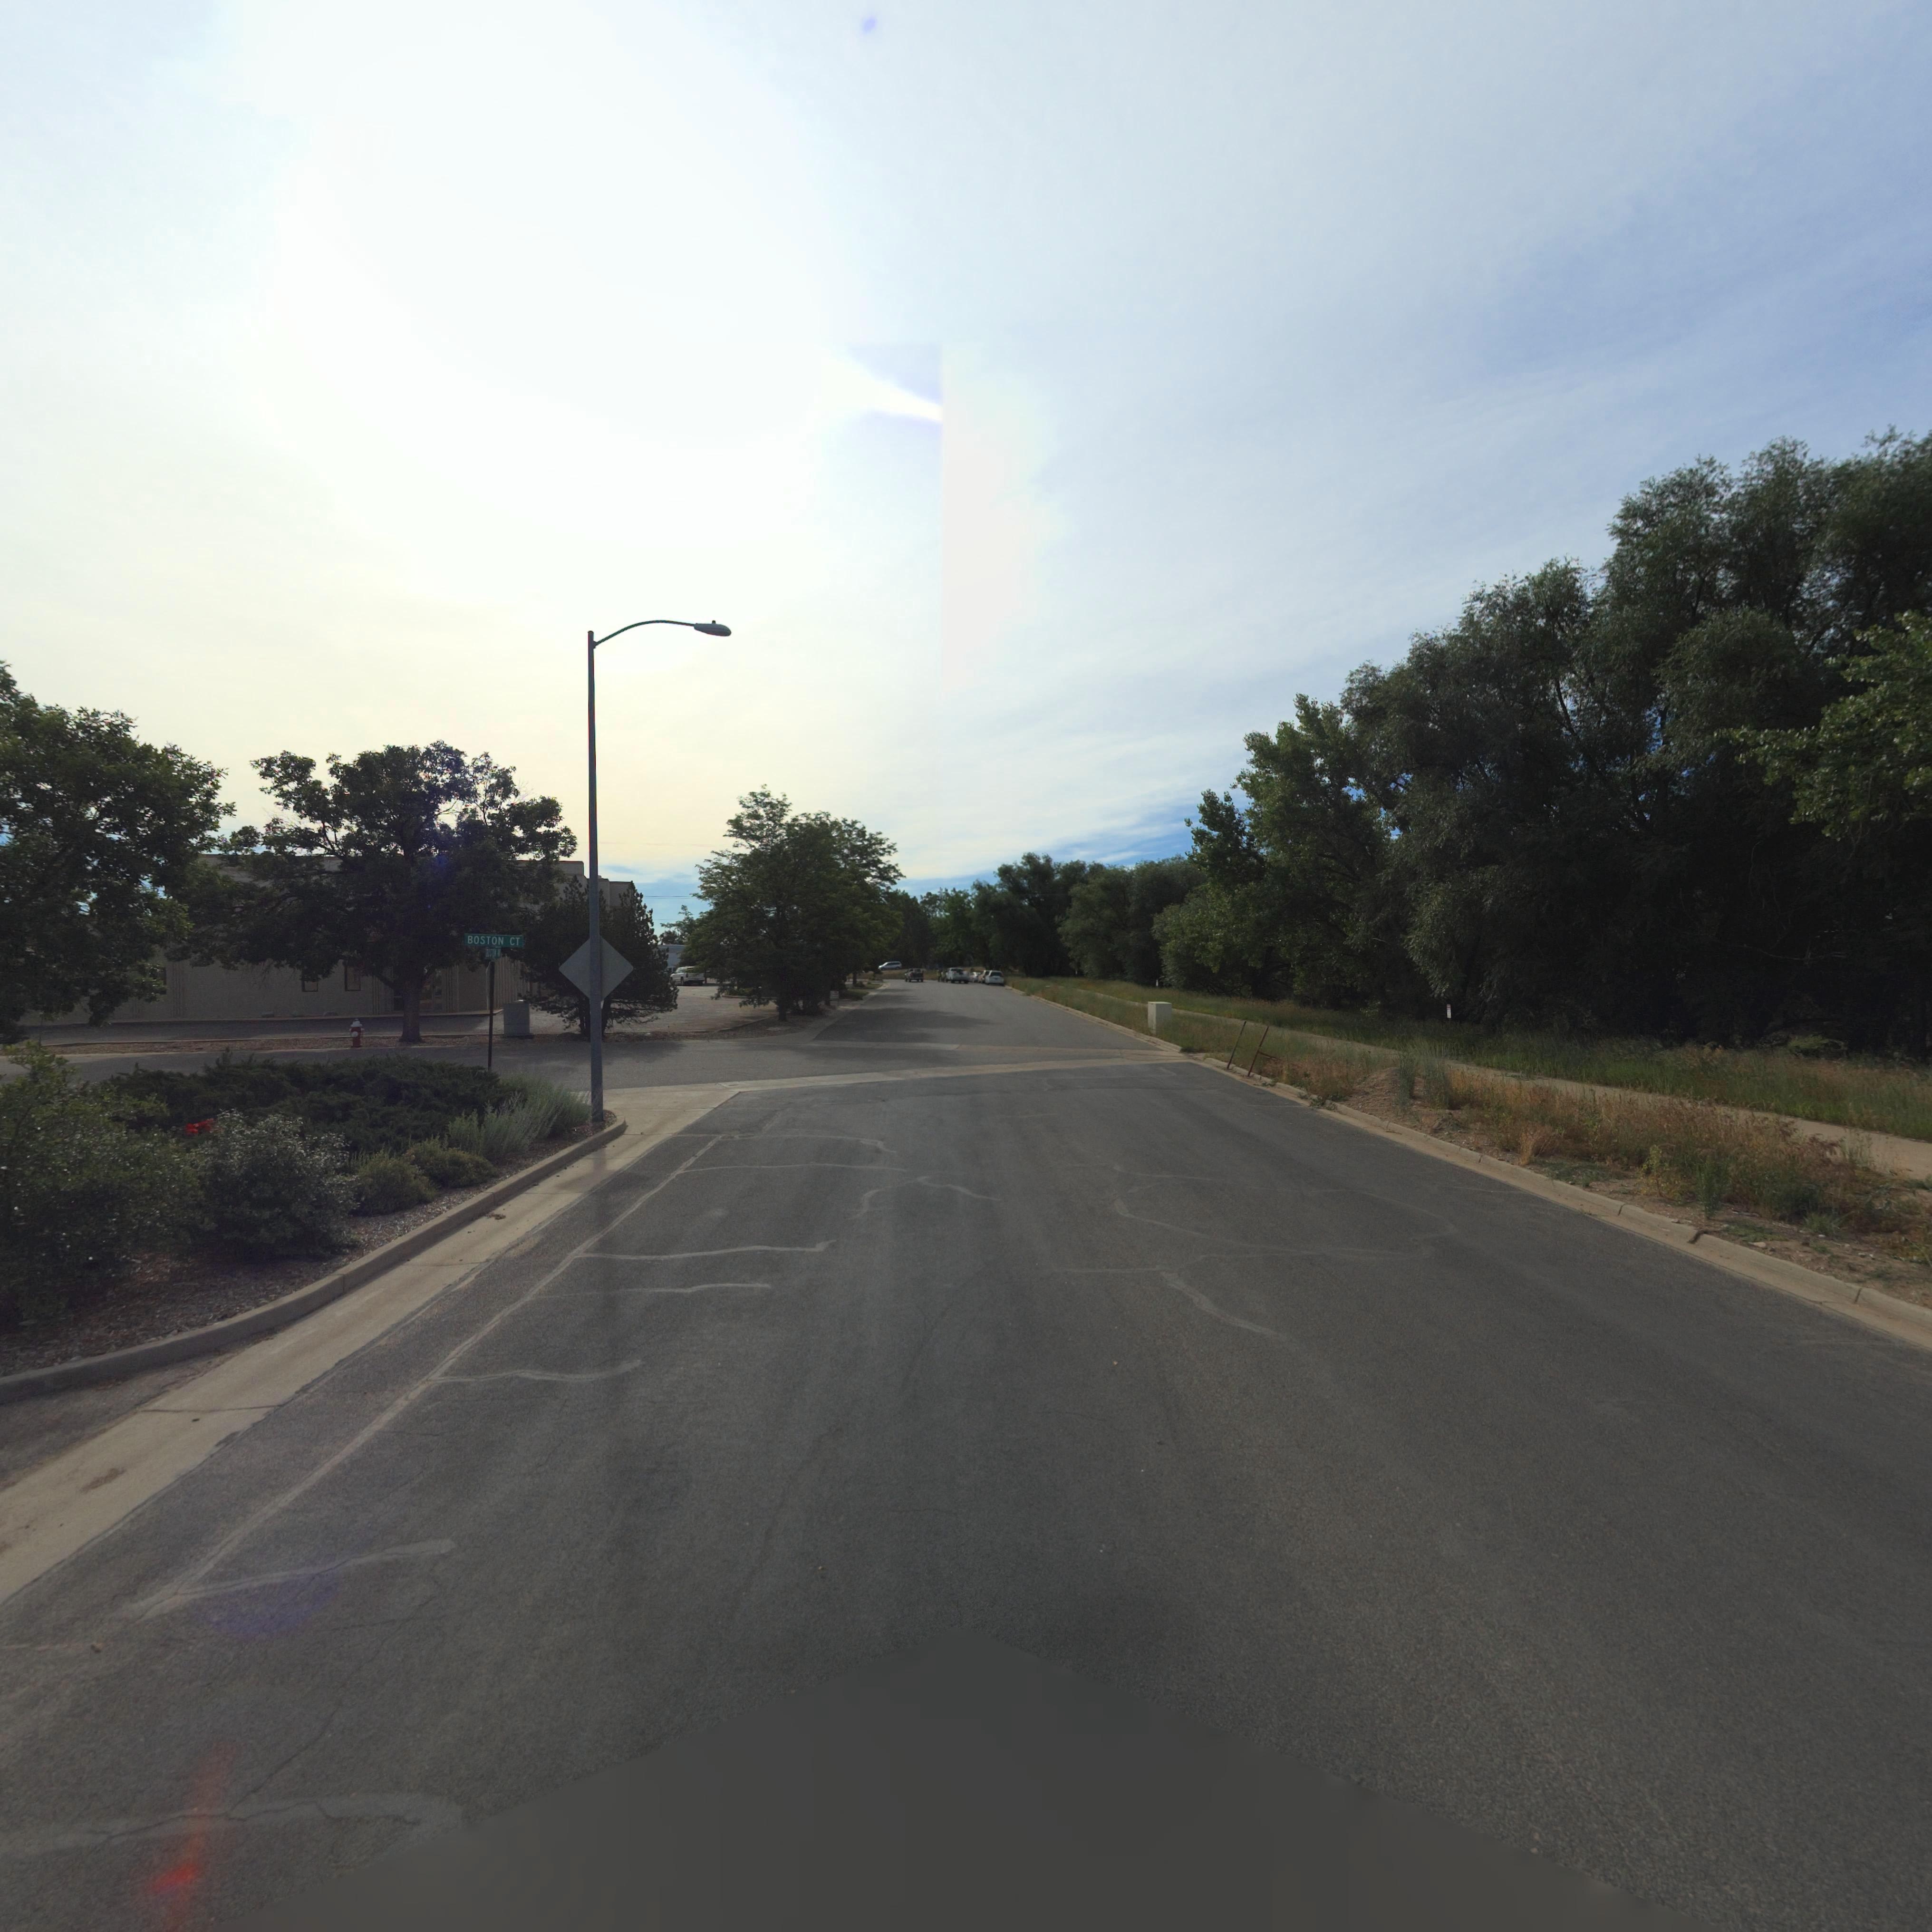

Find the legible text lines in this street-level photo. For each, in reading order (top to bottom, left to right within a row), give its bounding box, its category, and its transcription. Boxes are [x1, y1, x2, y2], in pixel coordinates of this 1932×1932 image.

[467, 935, 521, 946] StreetName: BOSTON CT